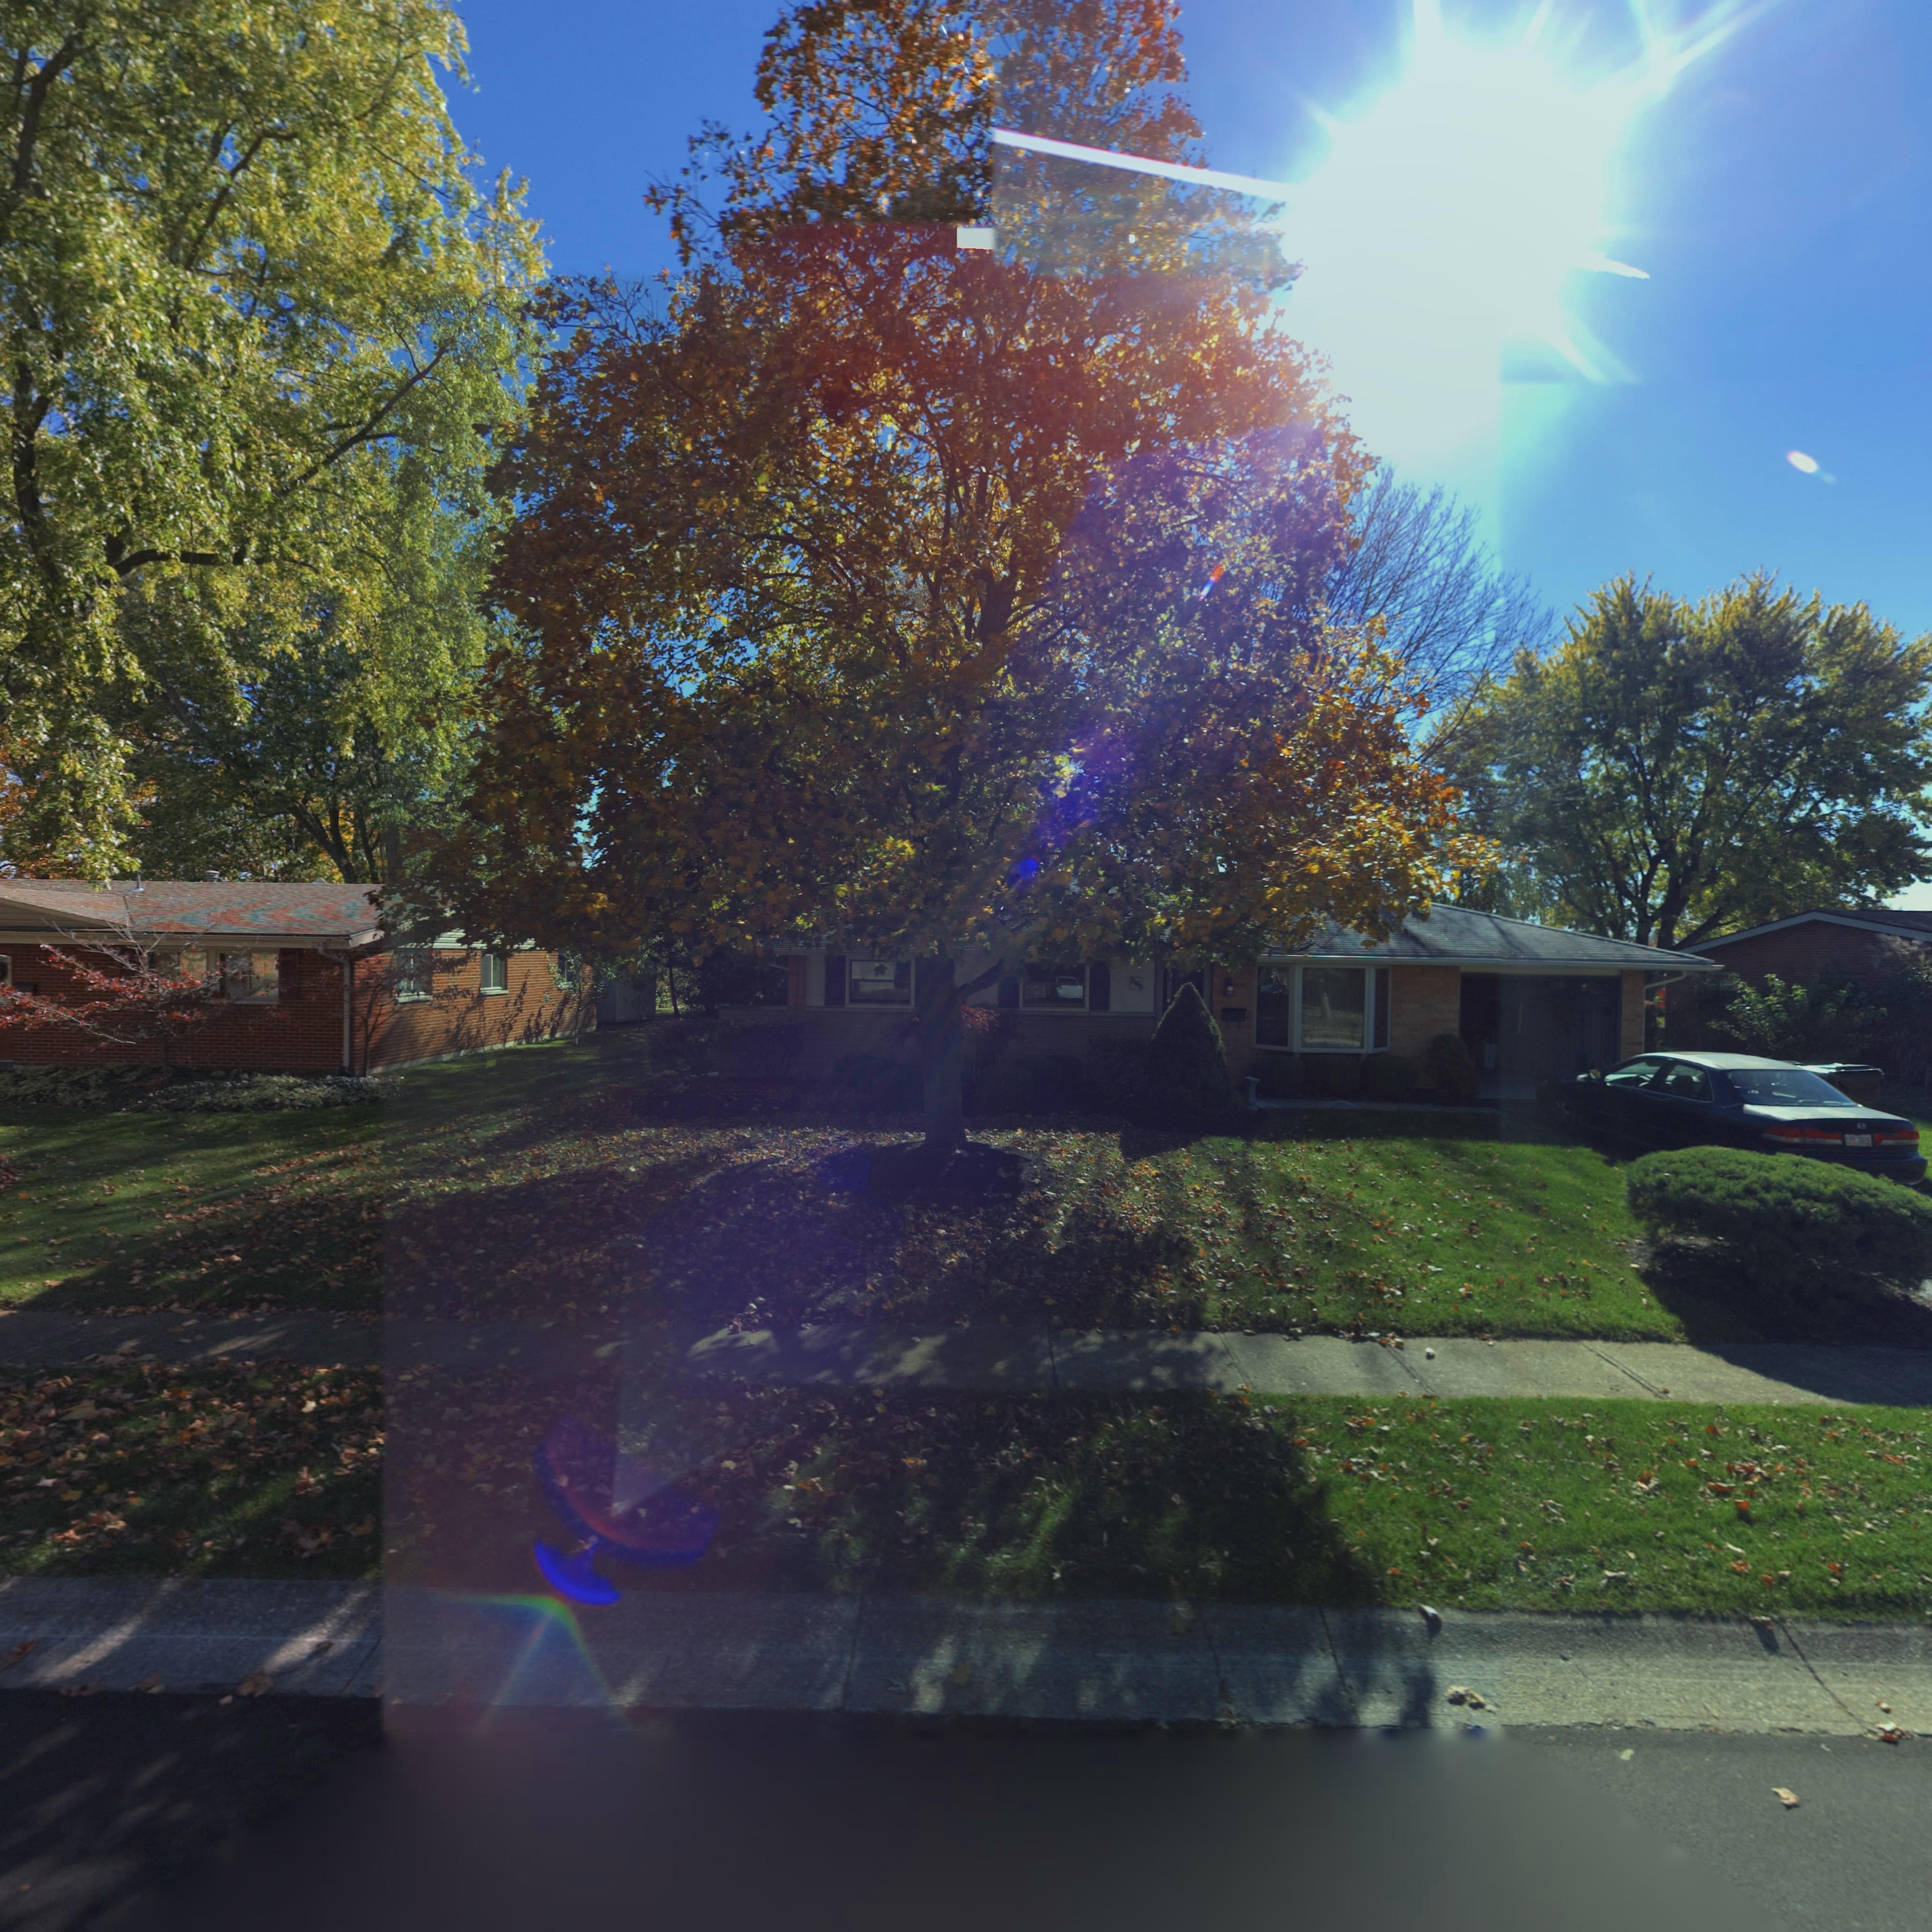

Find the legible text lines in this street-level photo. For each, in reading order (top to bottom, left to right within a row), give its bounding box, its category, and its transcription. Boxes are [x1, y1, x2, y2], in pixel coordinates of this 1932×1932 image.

[1130, 977, 1143, 990] StreetNumber: 5**
[1857, 1136, 1871, 1145] None: 7826